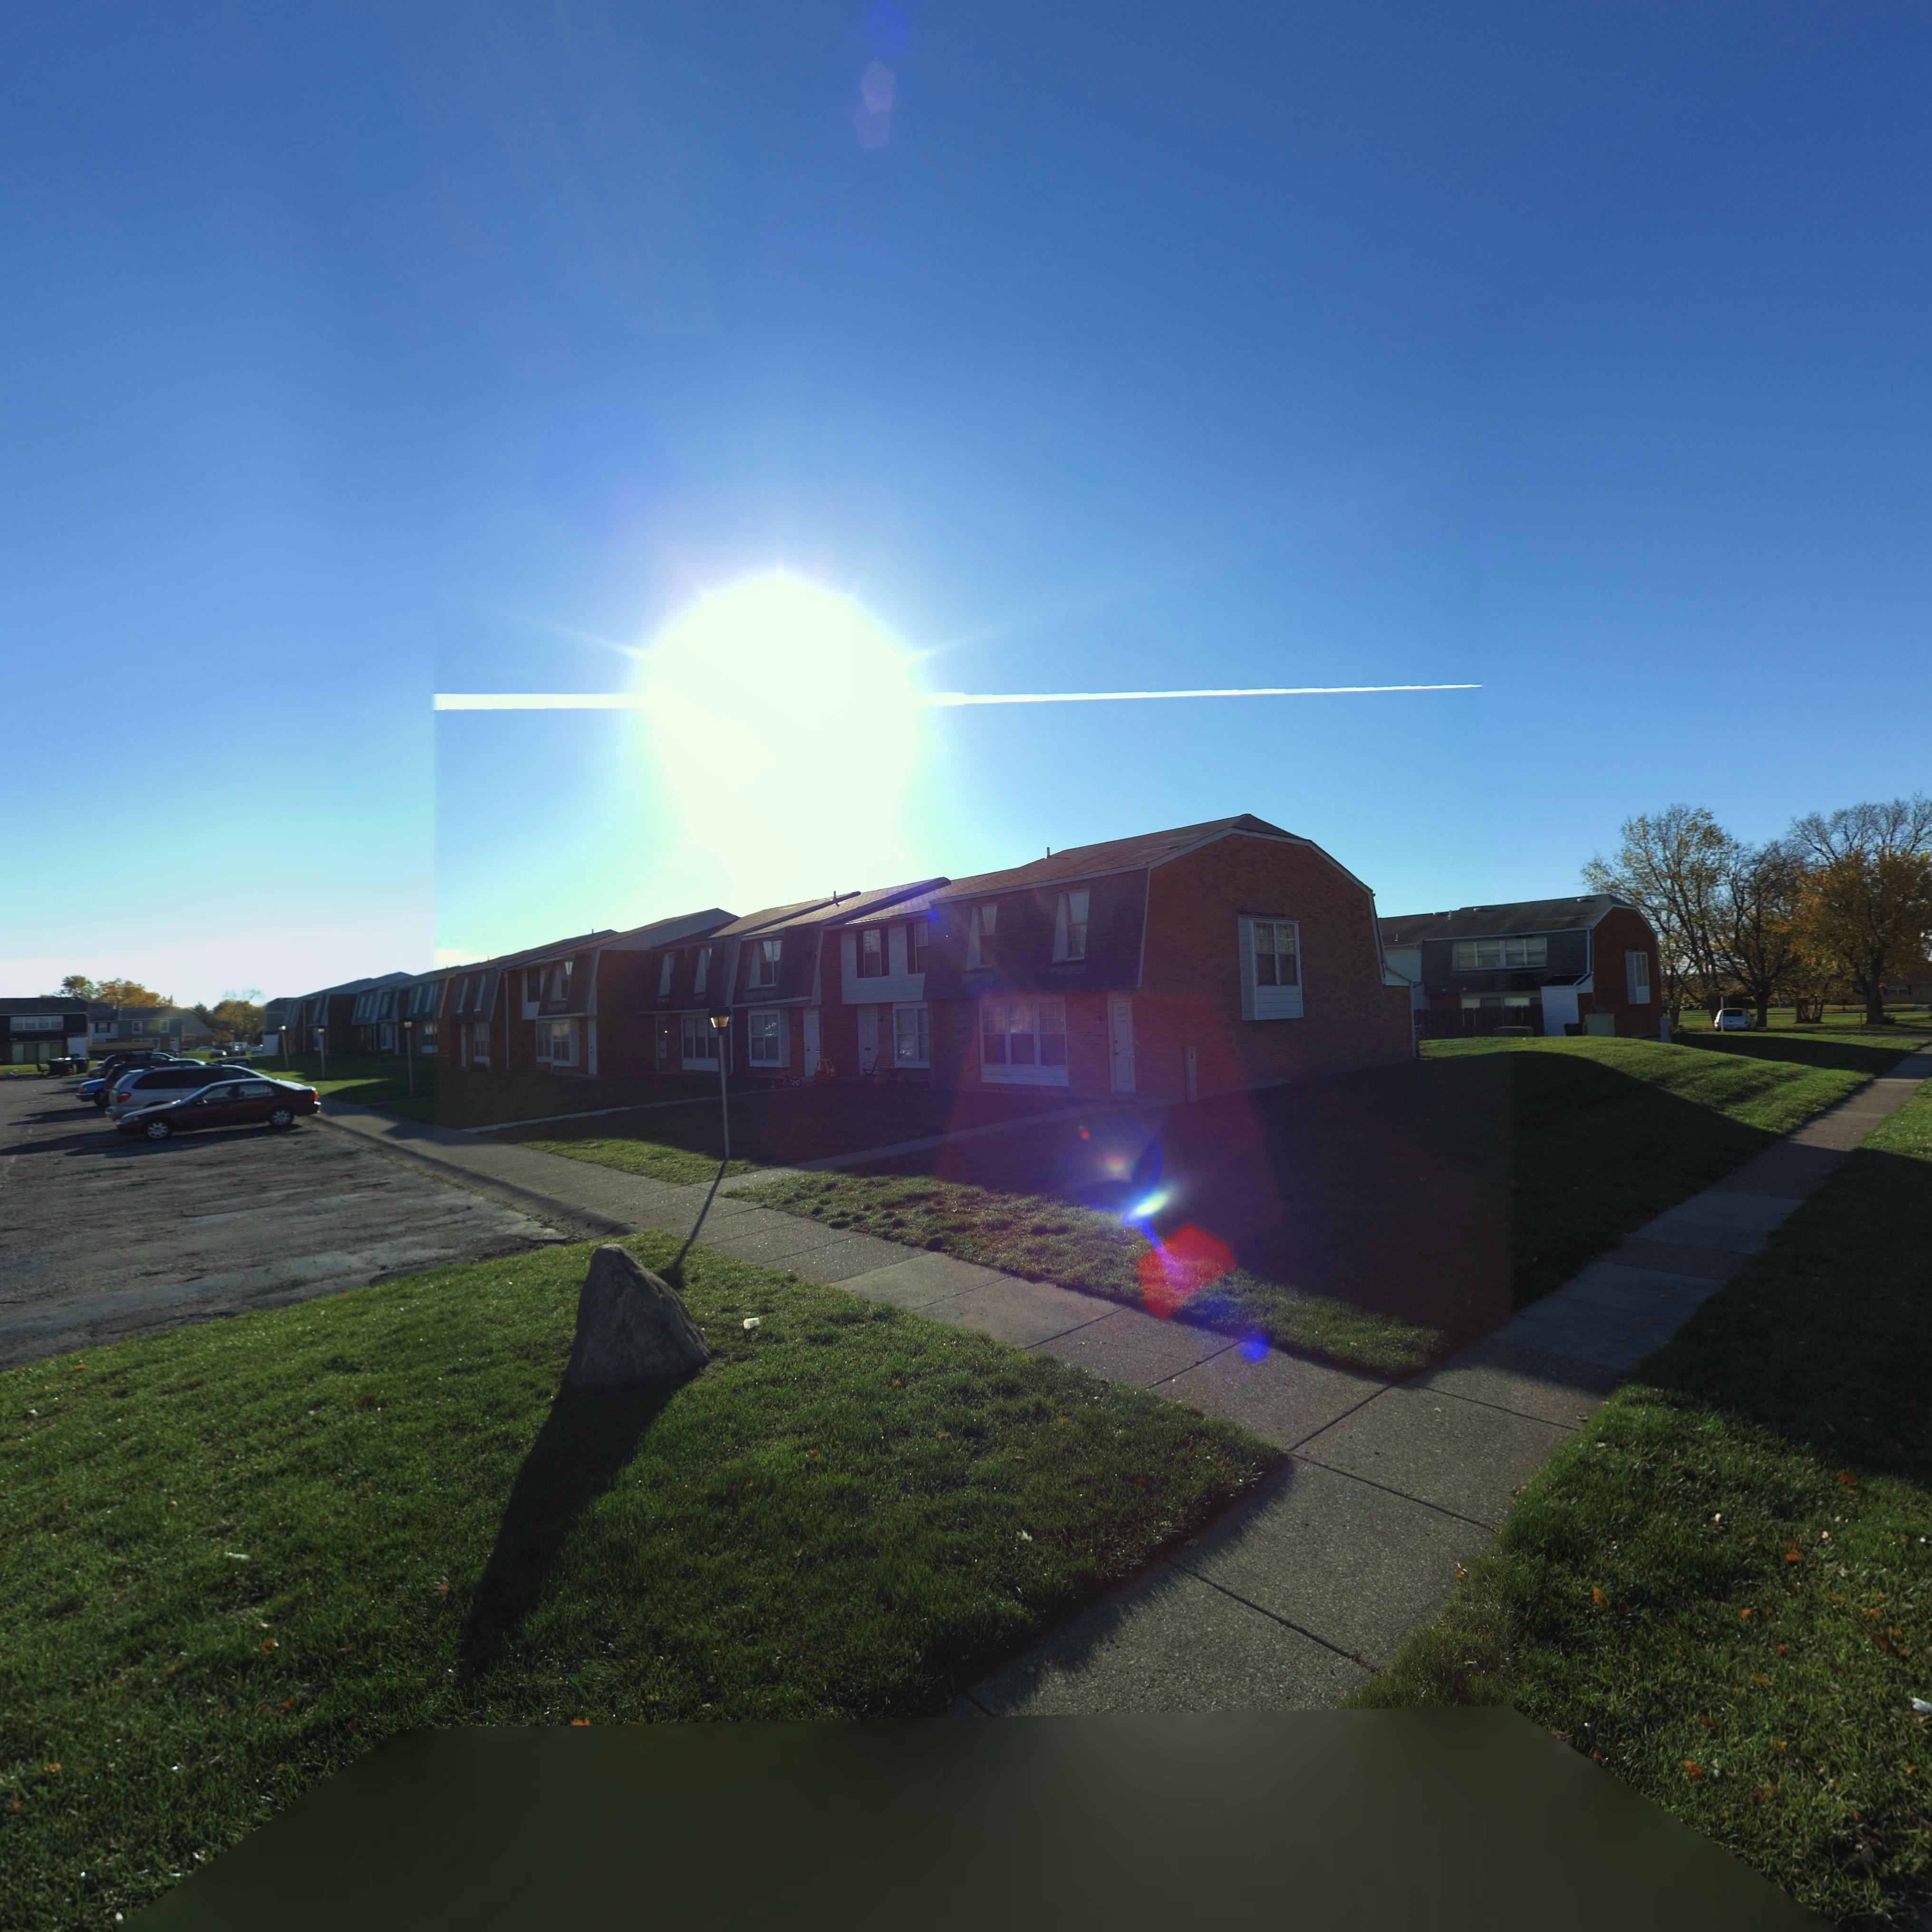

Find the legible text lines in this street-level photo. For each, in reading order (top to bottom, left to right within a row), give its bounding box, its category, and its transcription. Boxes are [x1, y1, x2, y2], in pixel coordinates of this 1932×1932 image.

[1118, 991, 1129, 996] StreetNumber: 758
[863, 1004, 866, 1008] StreetNumber: 7
[808, 1007, 811, 1010] StreetNumber: 7